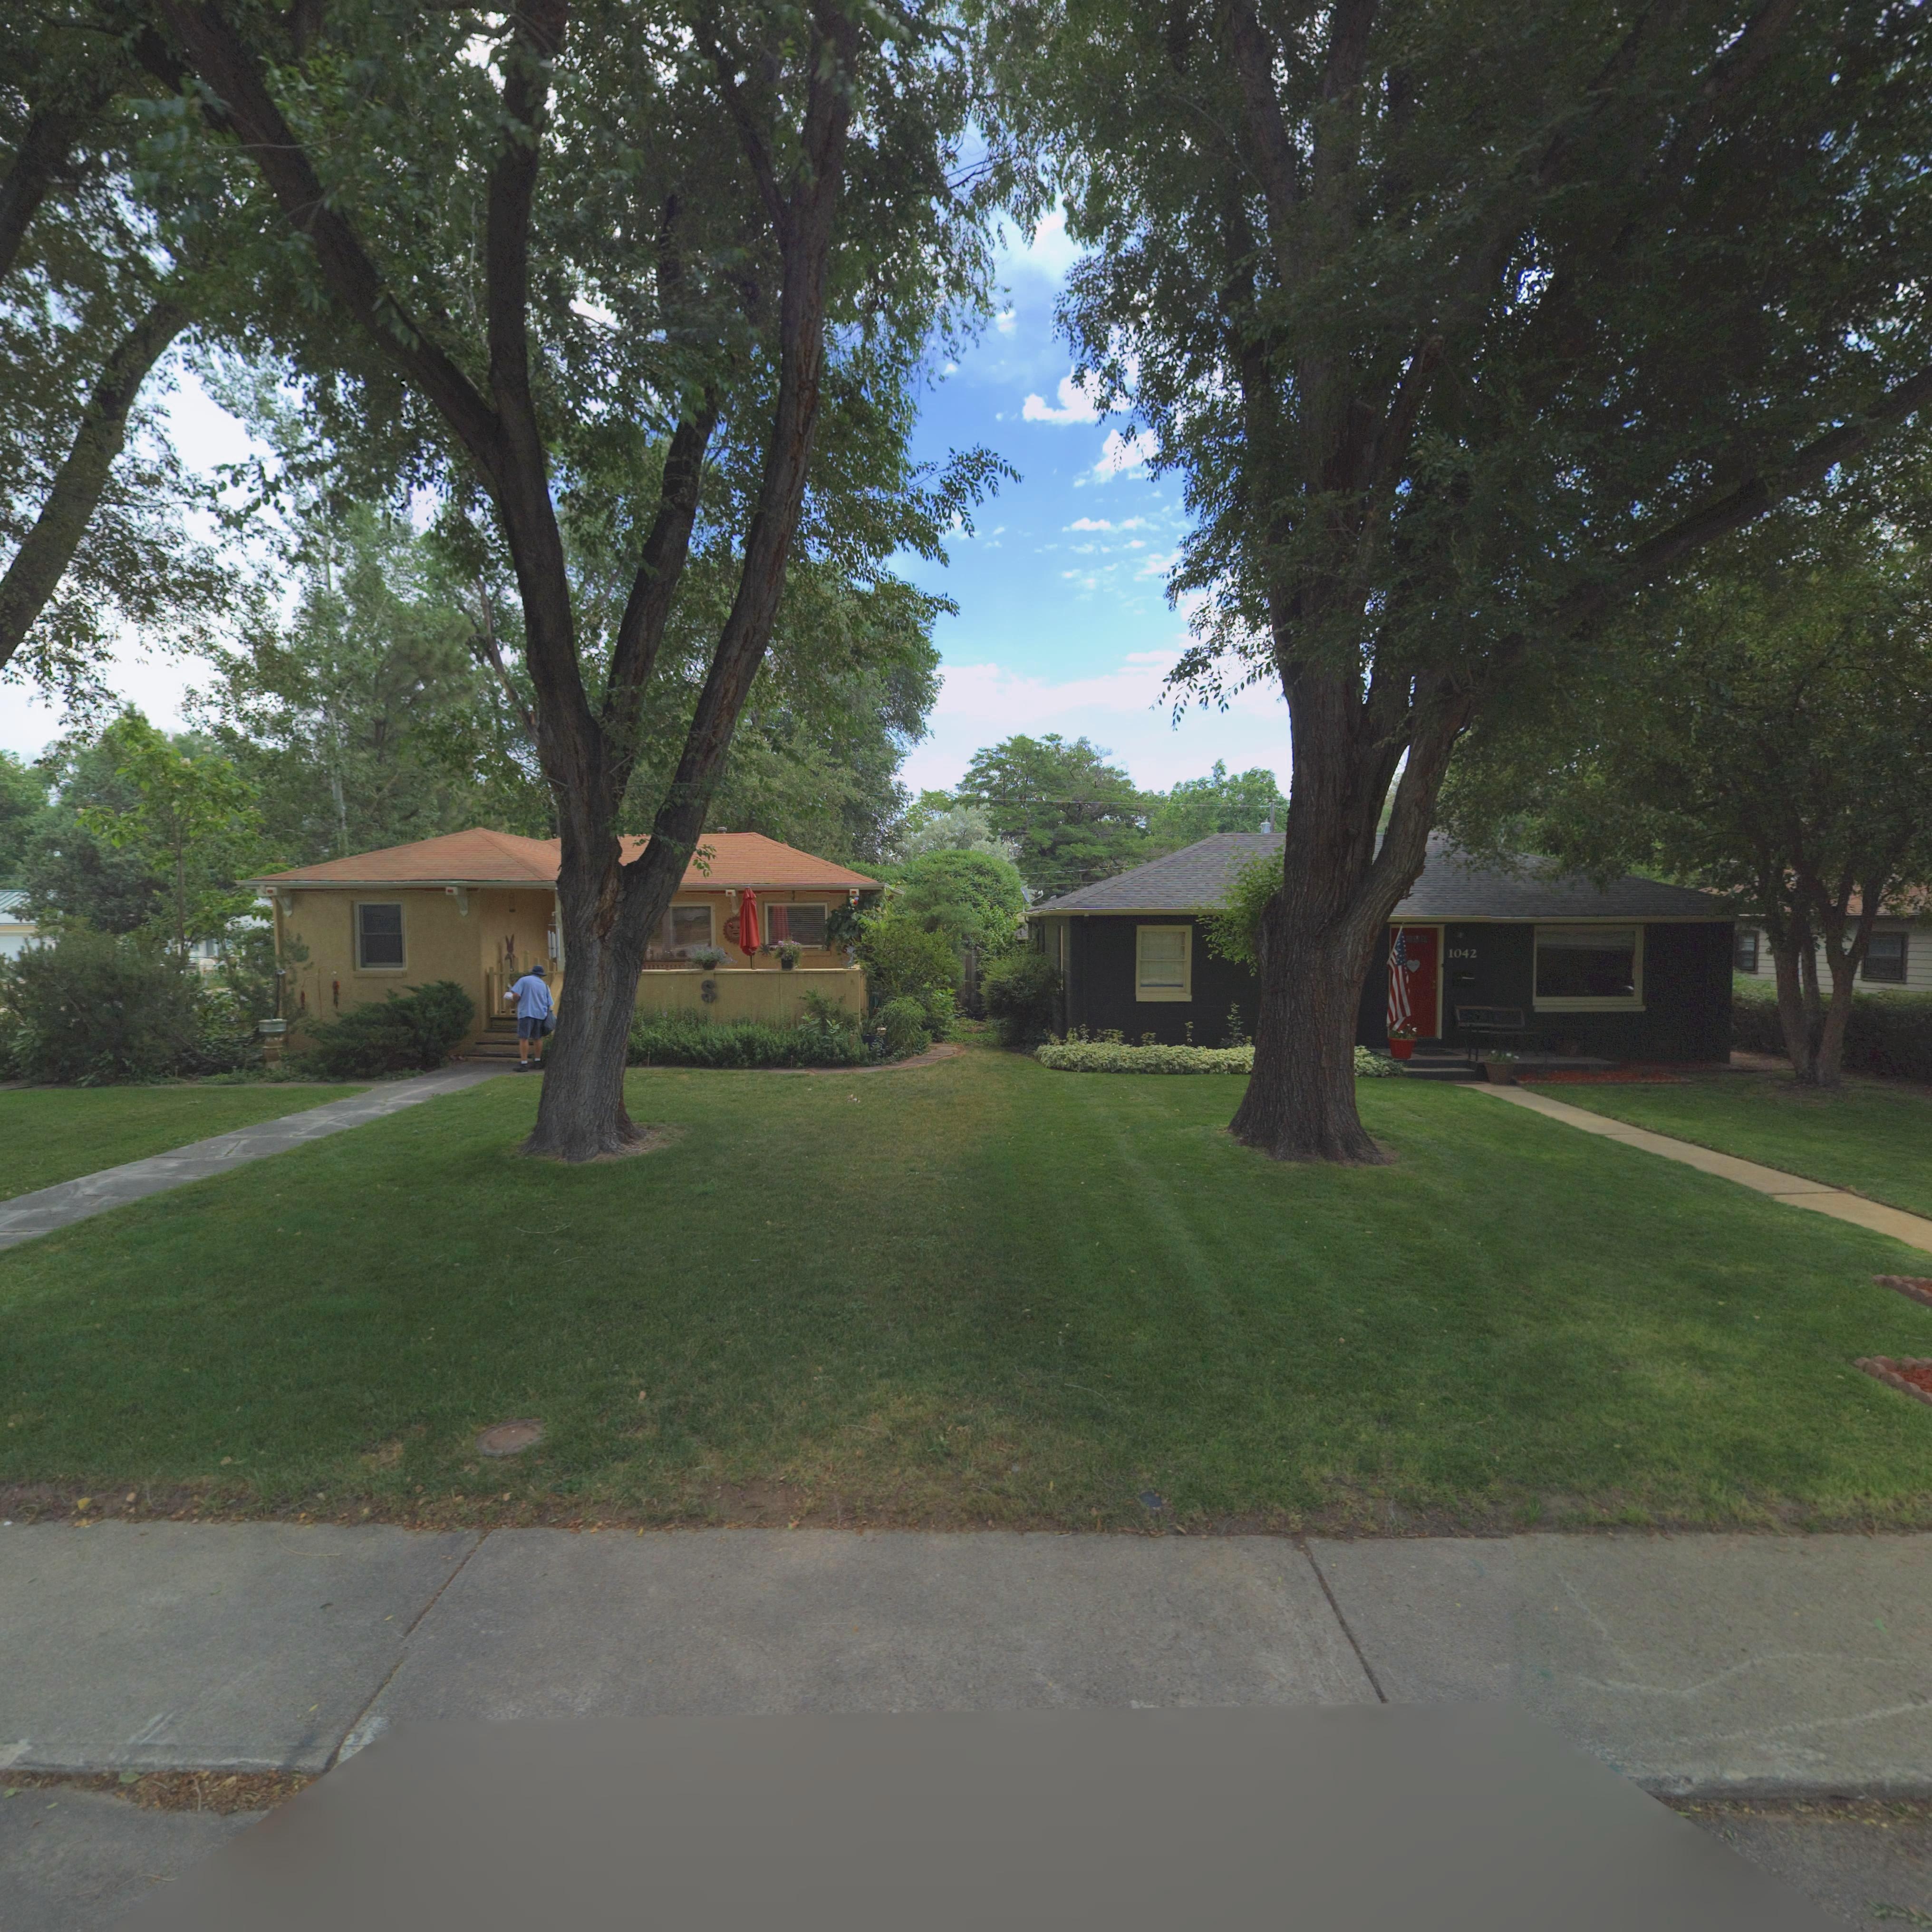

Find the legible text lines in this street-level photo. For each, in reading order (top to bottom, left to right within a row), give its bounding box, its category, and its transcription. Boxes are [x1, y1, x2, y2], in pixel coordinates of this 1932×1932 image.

[1447, 948, 1478, 959] StreetNumber: 1042